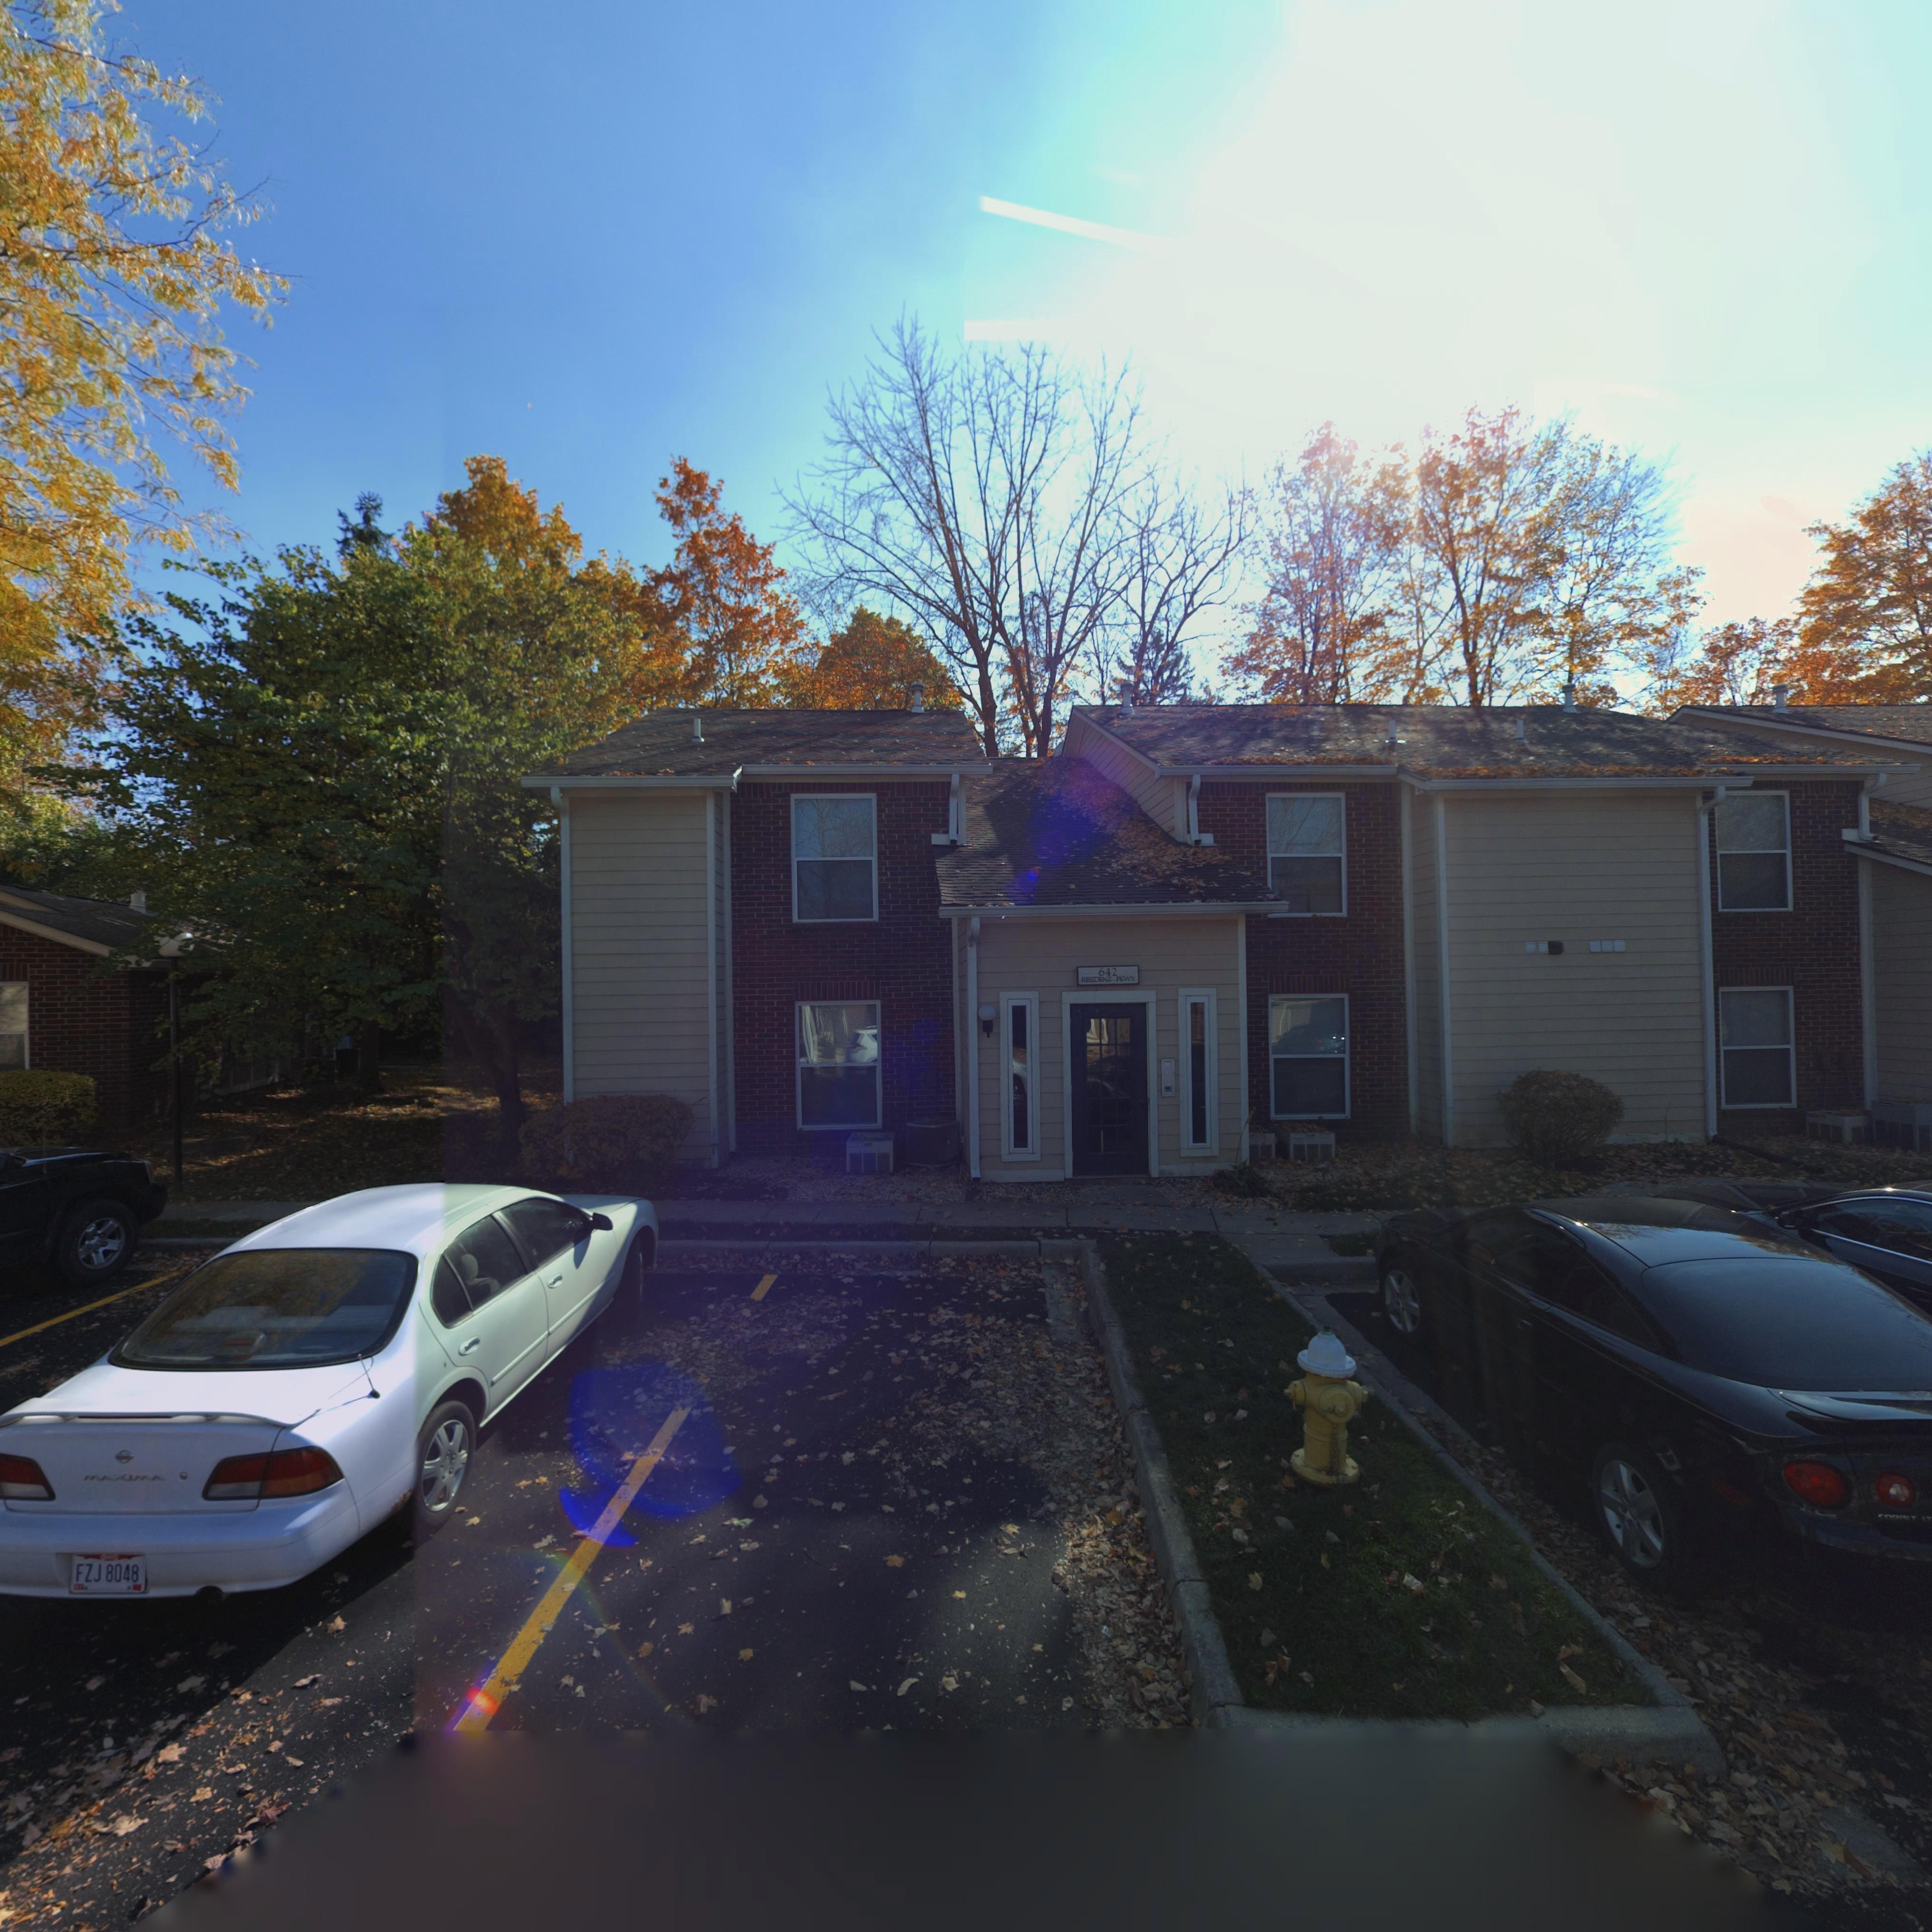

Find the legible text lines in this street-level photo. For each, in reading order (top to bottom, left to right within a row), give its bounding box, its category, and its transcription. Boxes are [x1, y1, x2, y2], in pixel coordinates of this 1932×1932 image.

[1098, 966, 1118, 977] StreetNumber: 642
[1081, 975, 1136, 984] StreetName: RESIDENZ PKWY
[82, 1473, 166, 1482] None: MAXIMA
[74, 1561, 141, 1584] None: FZJ 8048